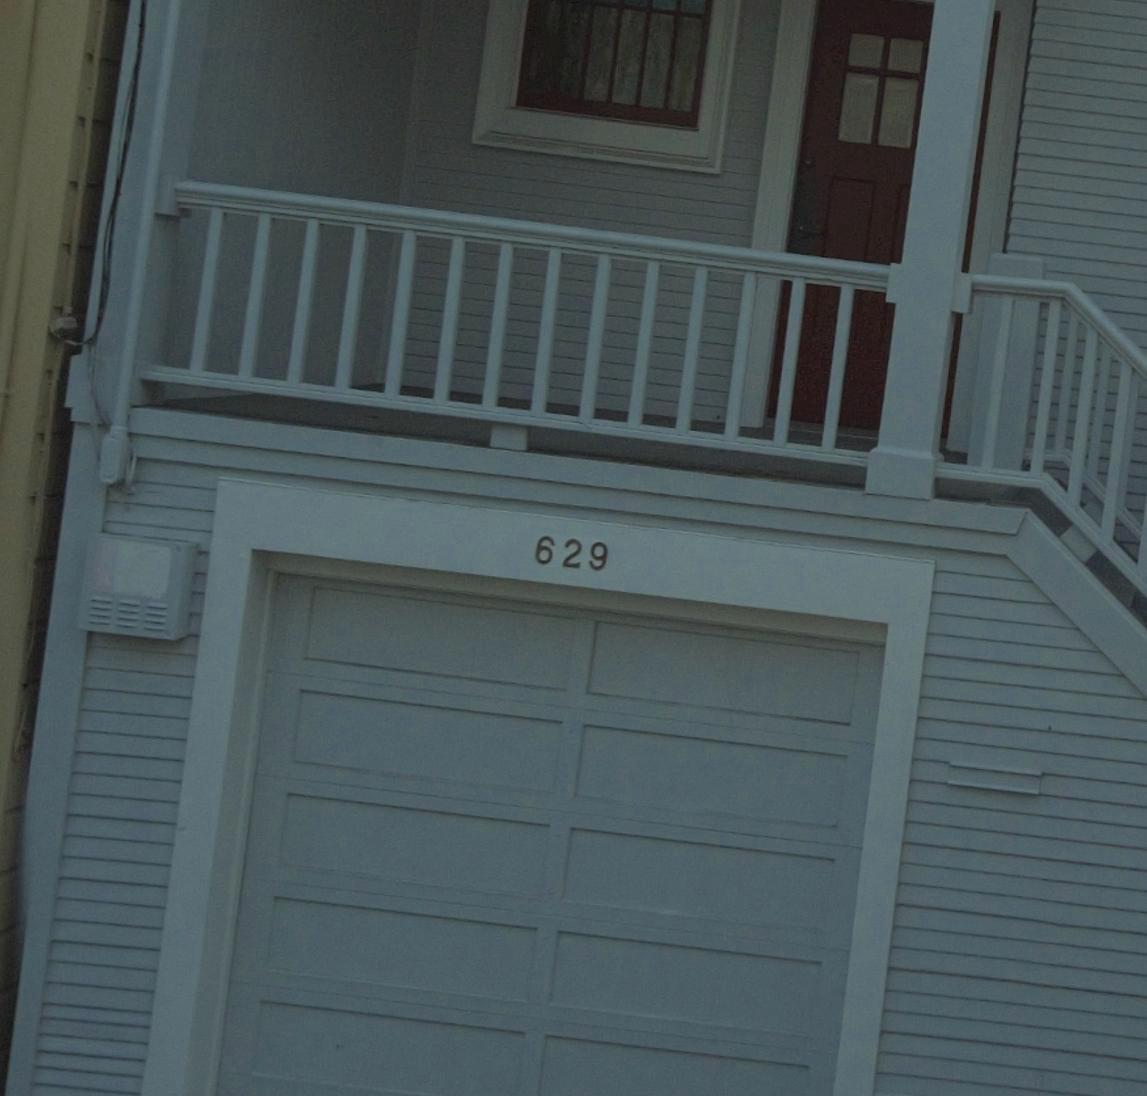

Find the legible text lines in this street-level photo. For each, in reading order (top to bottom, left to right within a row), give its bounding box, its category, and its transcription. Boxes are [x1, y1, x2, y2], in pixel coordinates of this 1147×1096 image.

[534, 534, 610, 572] StreetNumber: 629